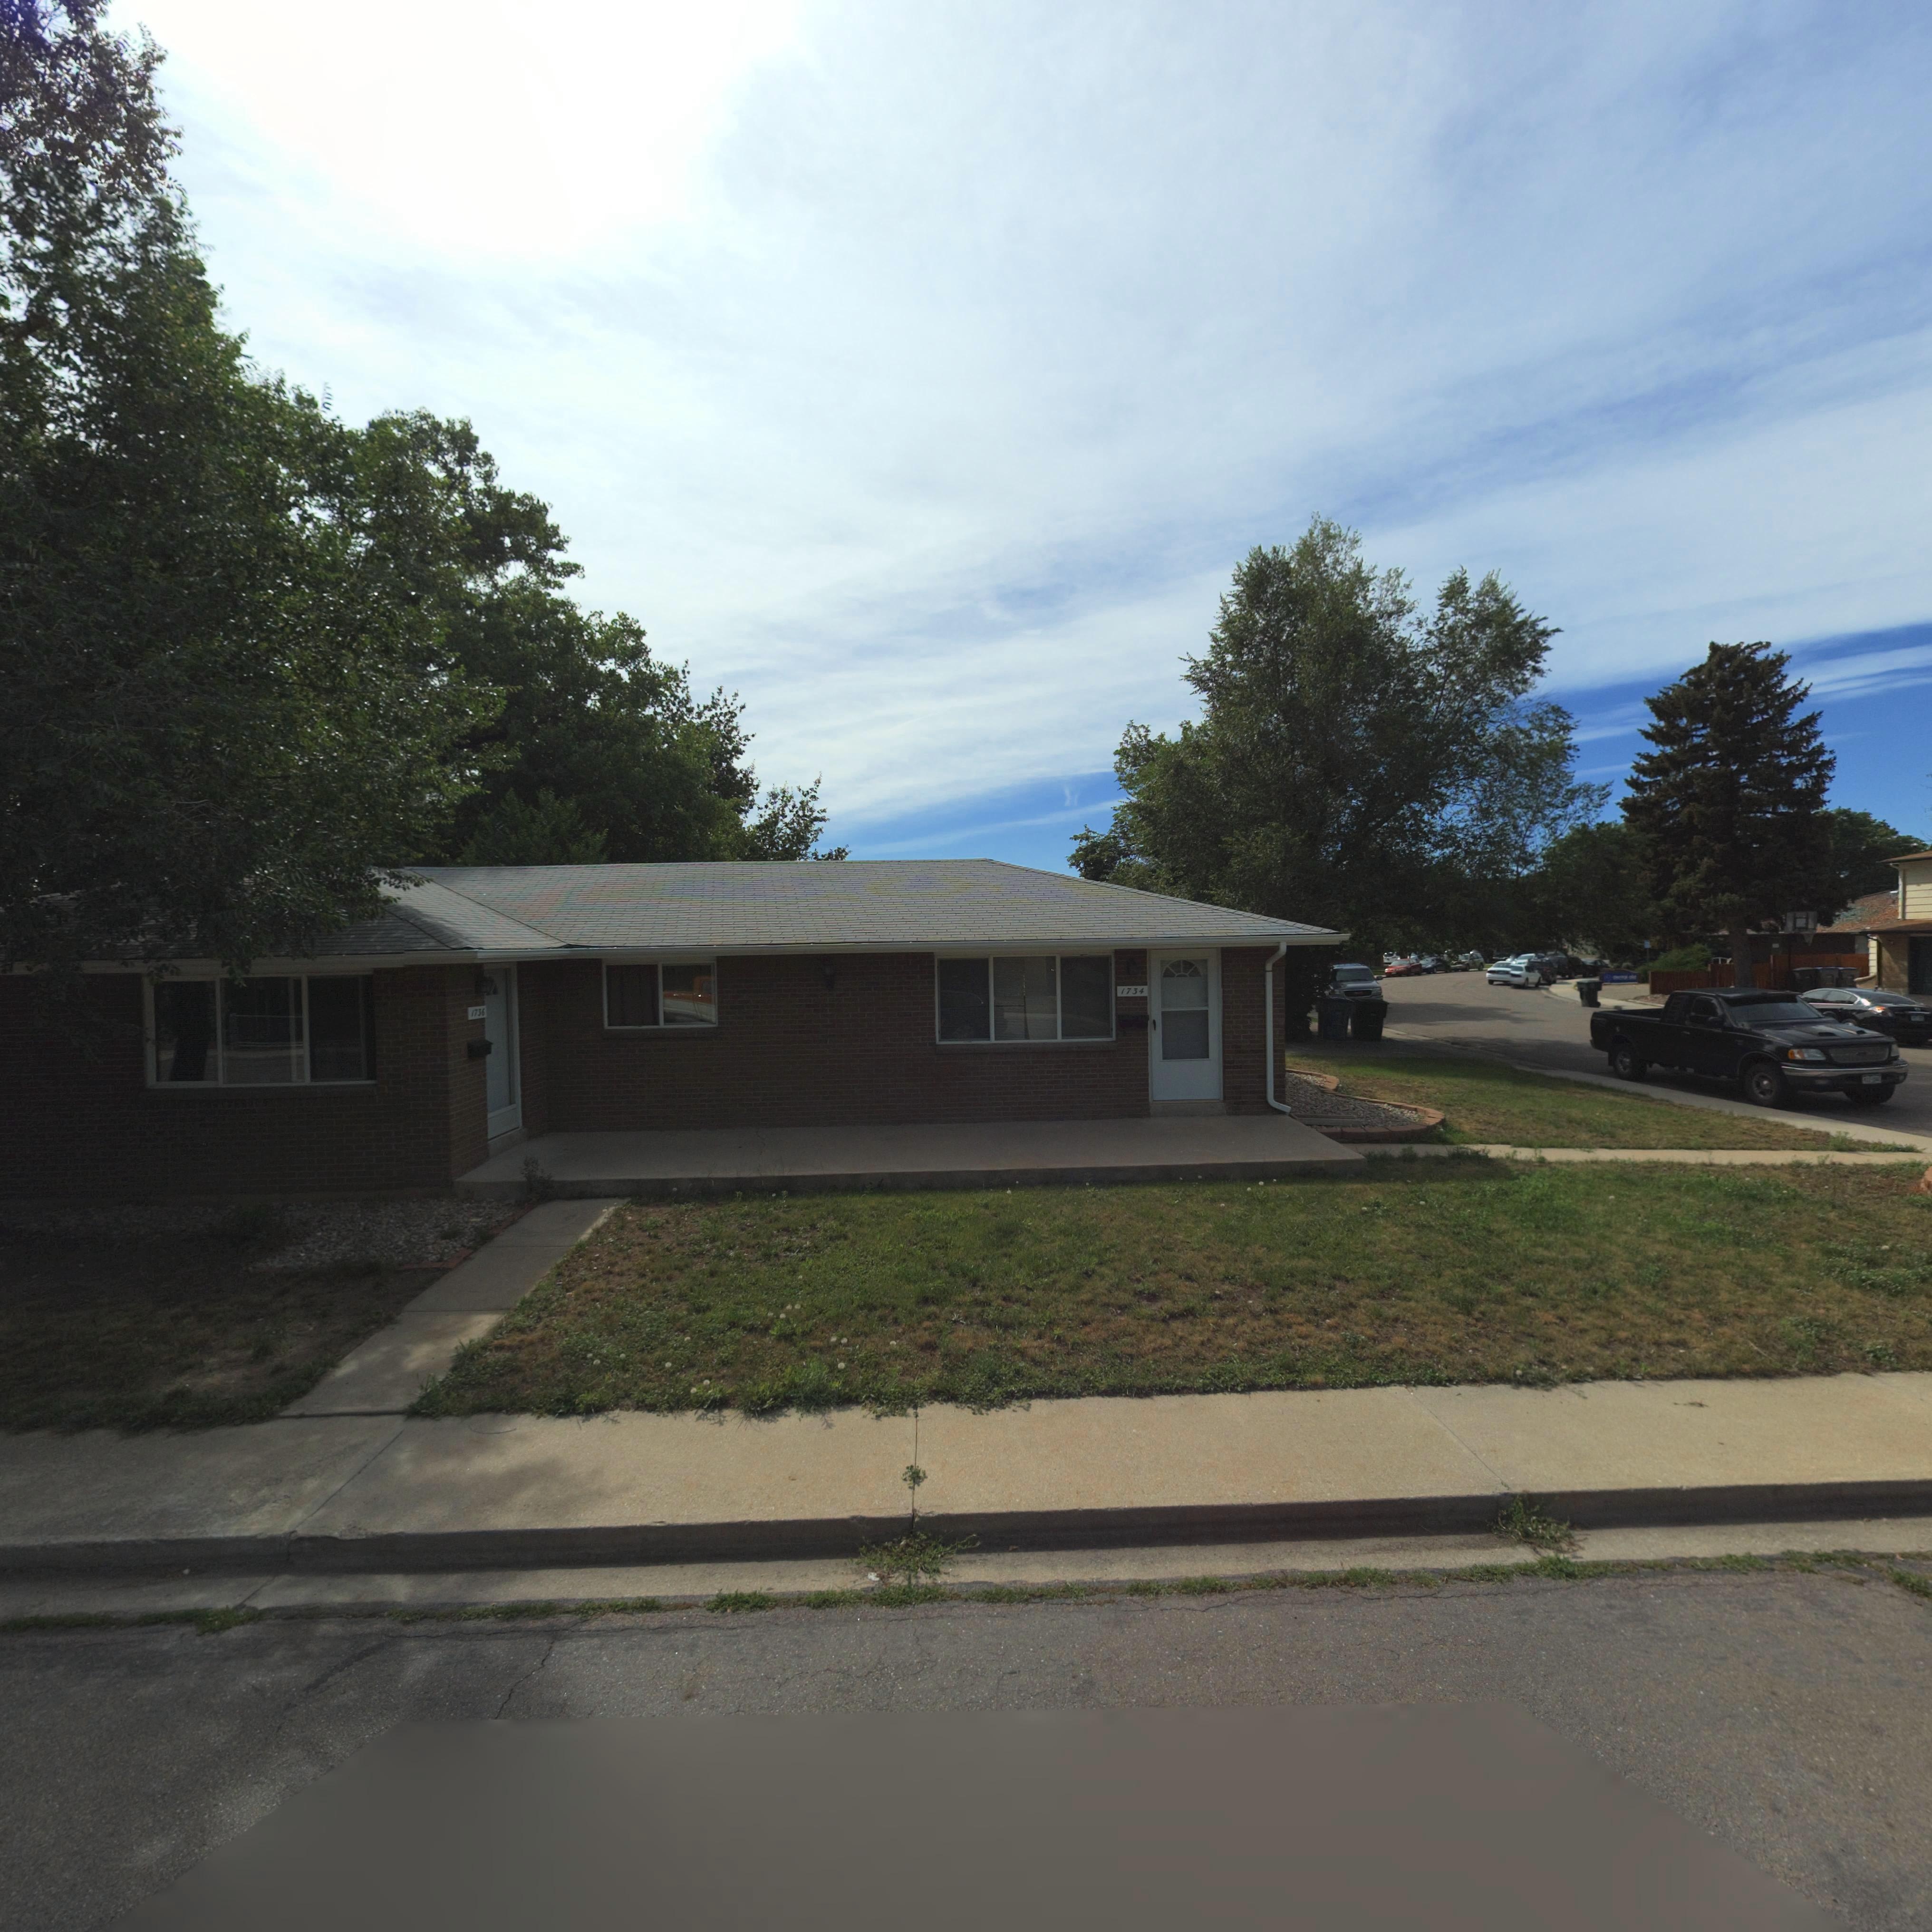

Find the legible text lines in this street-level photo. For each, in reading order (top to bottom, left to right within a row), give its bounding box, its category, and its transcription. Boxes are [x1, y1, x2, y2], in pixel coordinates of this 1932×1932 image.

[1121, 987, 1144, 995] StreetNumber: 1734
[471, 1007, 485, 1017] StreetNumber: 1736